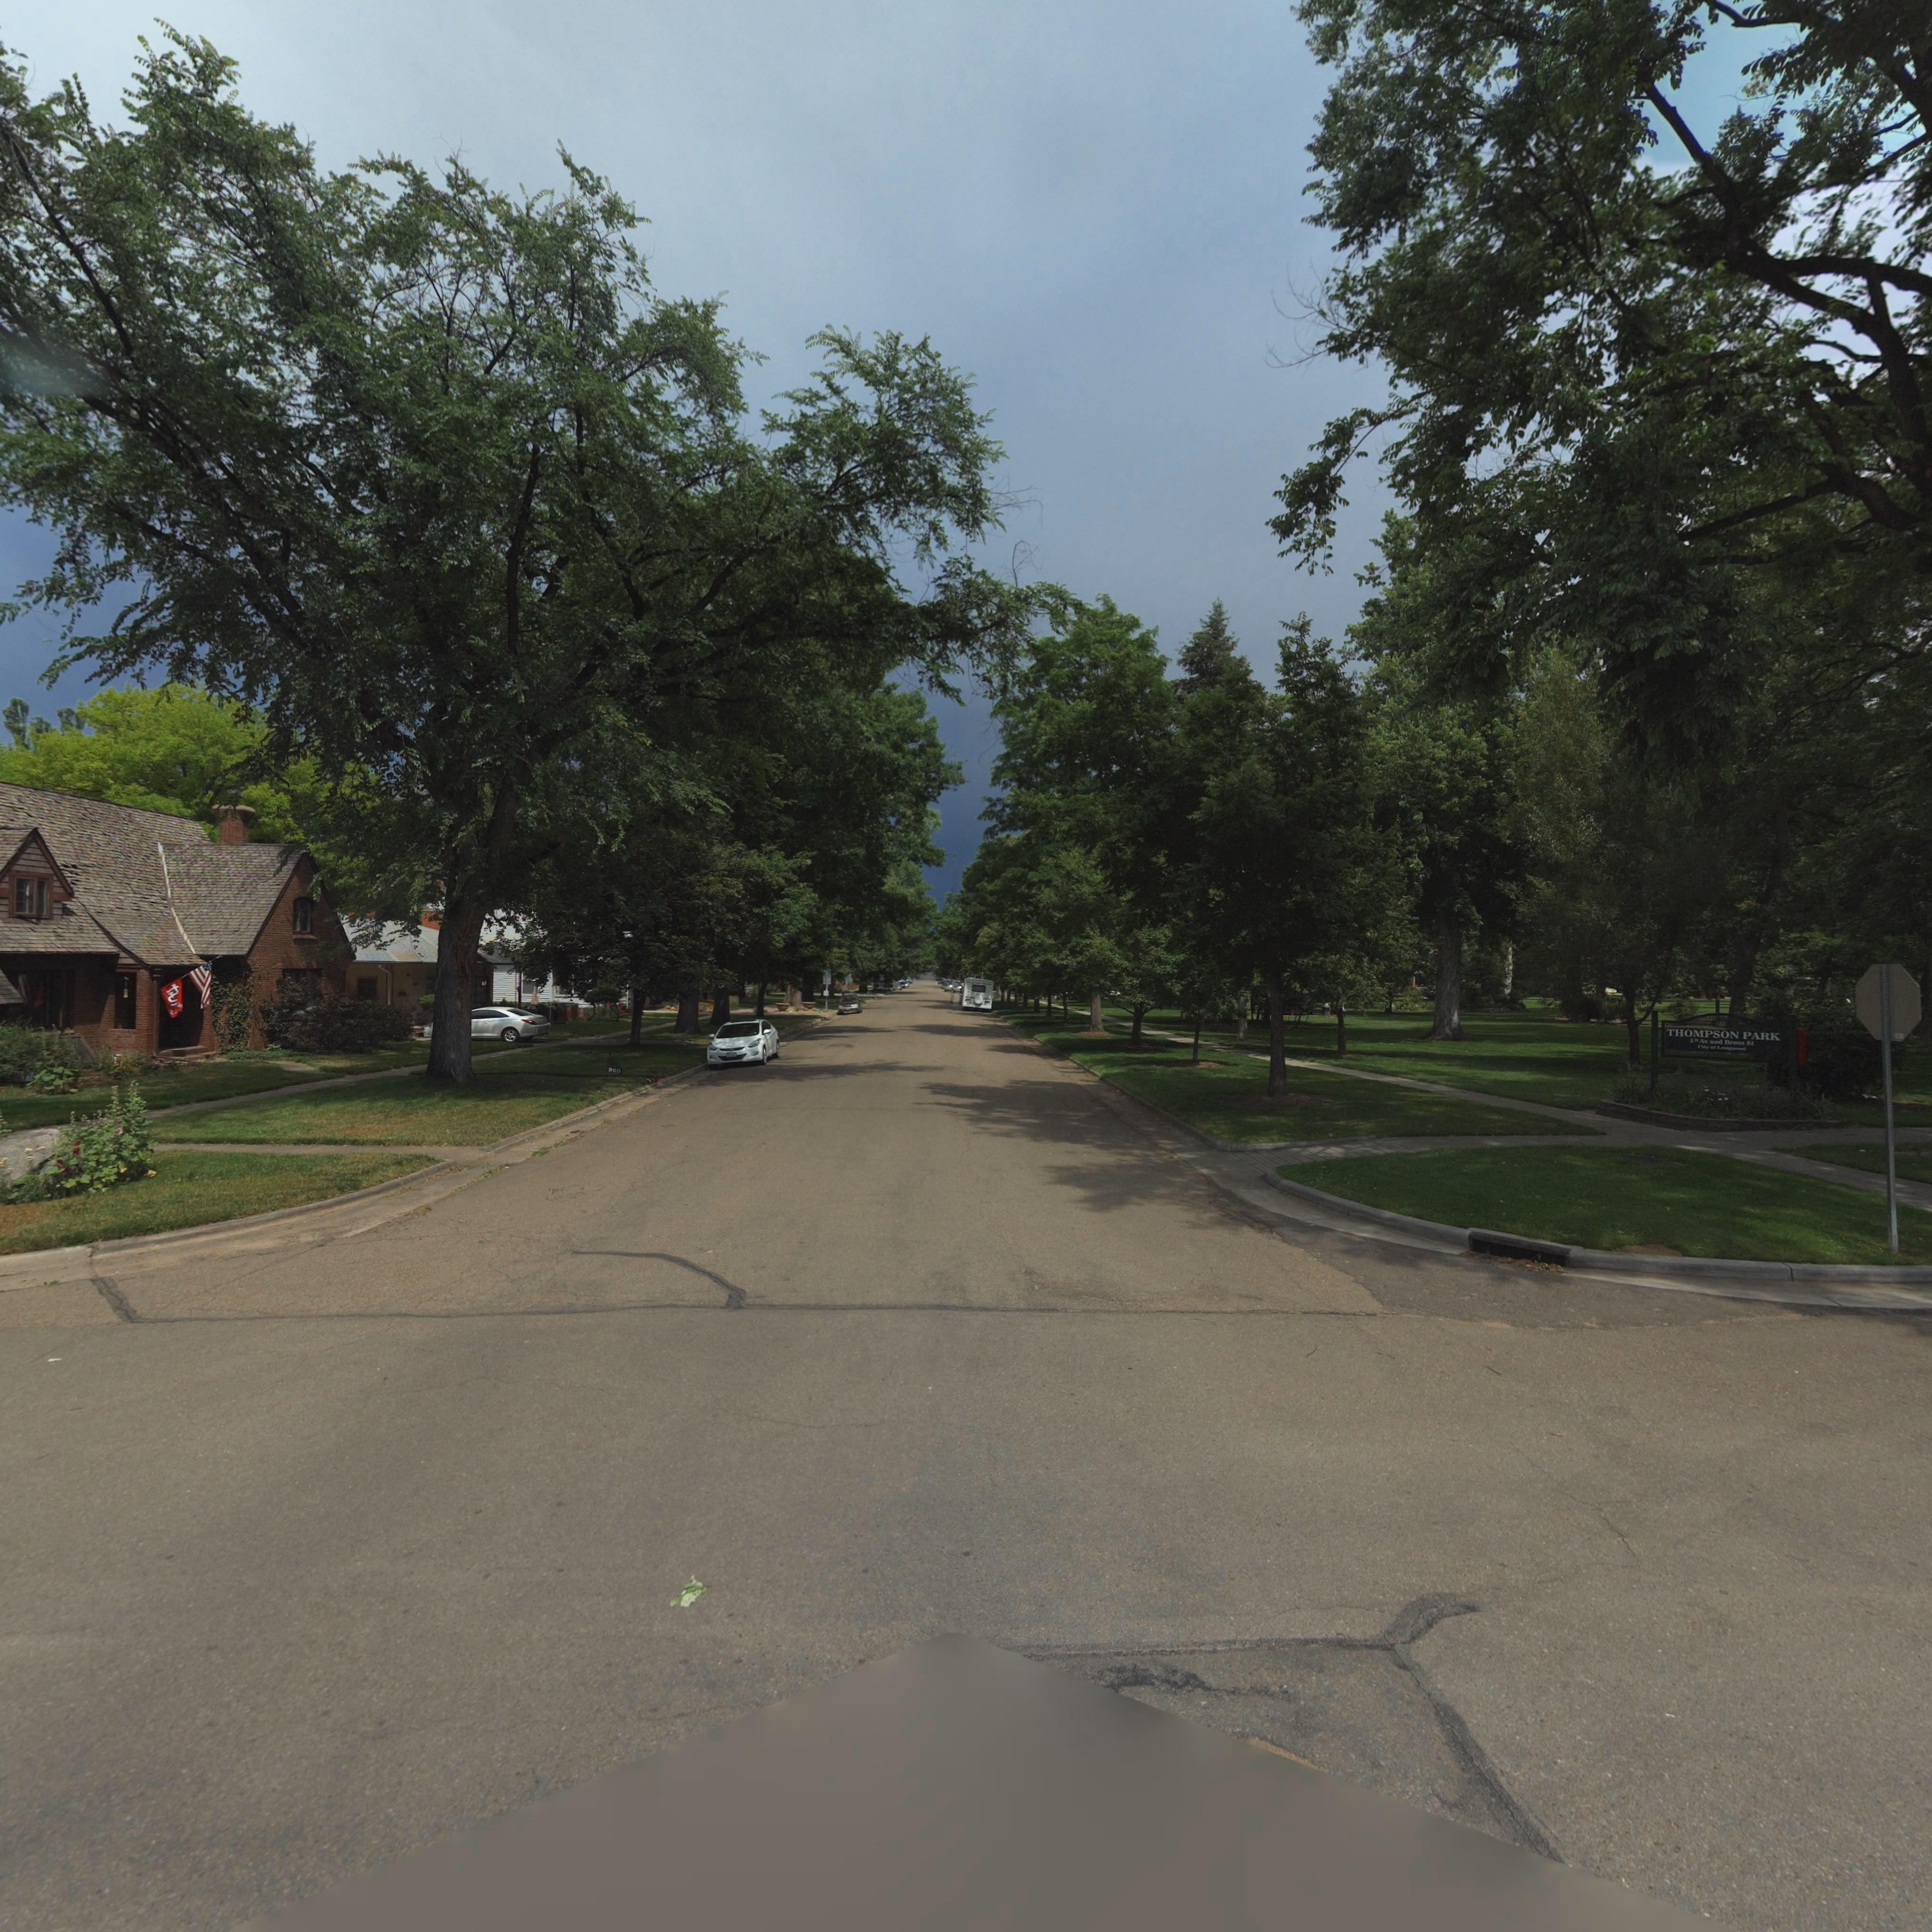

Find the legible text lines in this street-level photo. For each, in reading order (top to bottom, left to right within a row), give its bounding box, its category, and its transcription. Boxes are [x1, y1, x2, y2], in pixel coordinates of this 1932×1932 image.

[608, 1067, 621, 1073] StreetNumber: 960